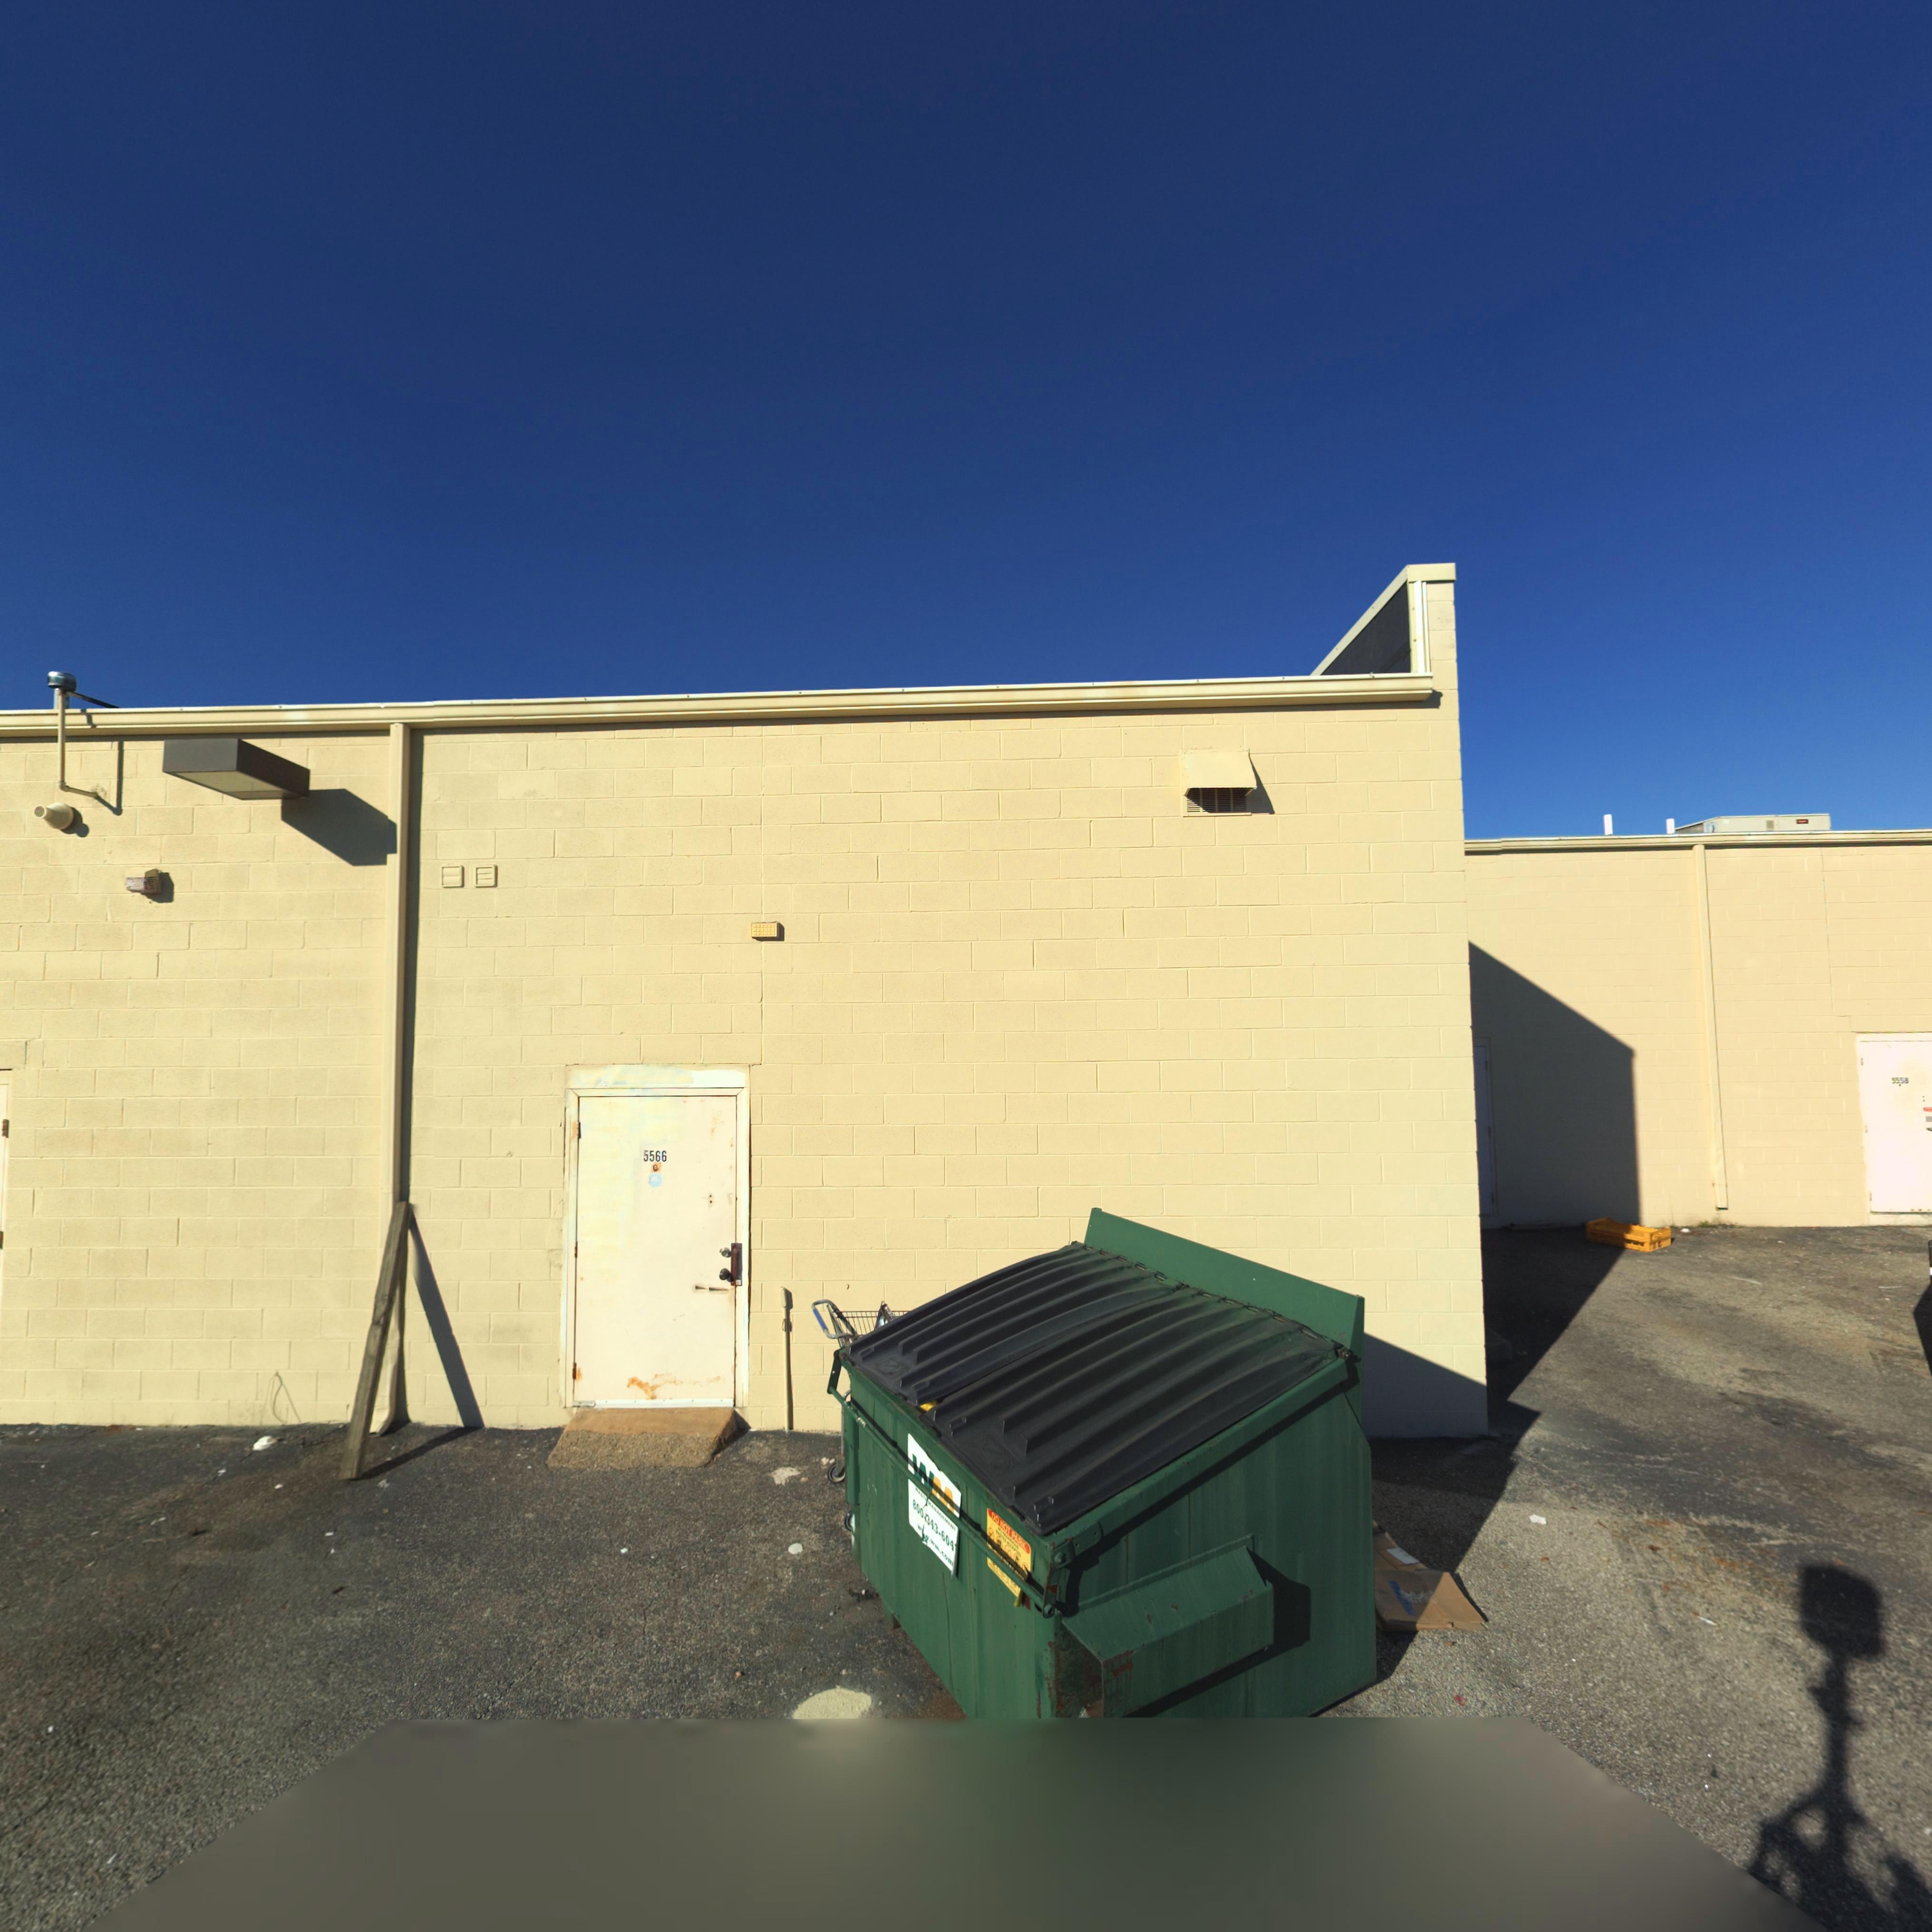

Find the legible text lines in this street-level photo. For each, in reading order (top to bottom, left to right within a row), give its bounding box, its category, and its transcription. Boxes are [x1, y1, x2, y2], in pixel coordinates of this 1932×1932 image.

[1890, 1076, 1910, 1085] StreetNumber: 555*
[642, 1149, 668, 1163] StreetNumber: 5566